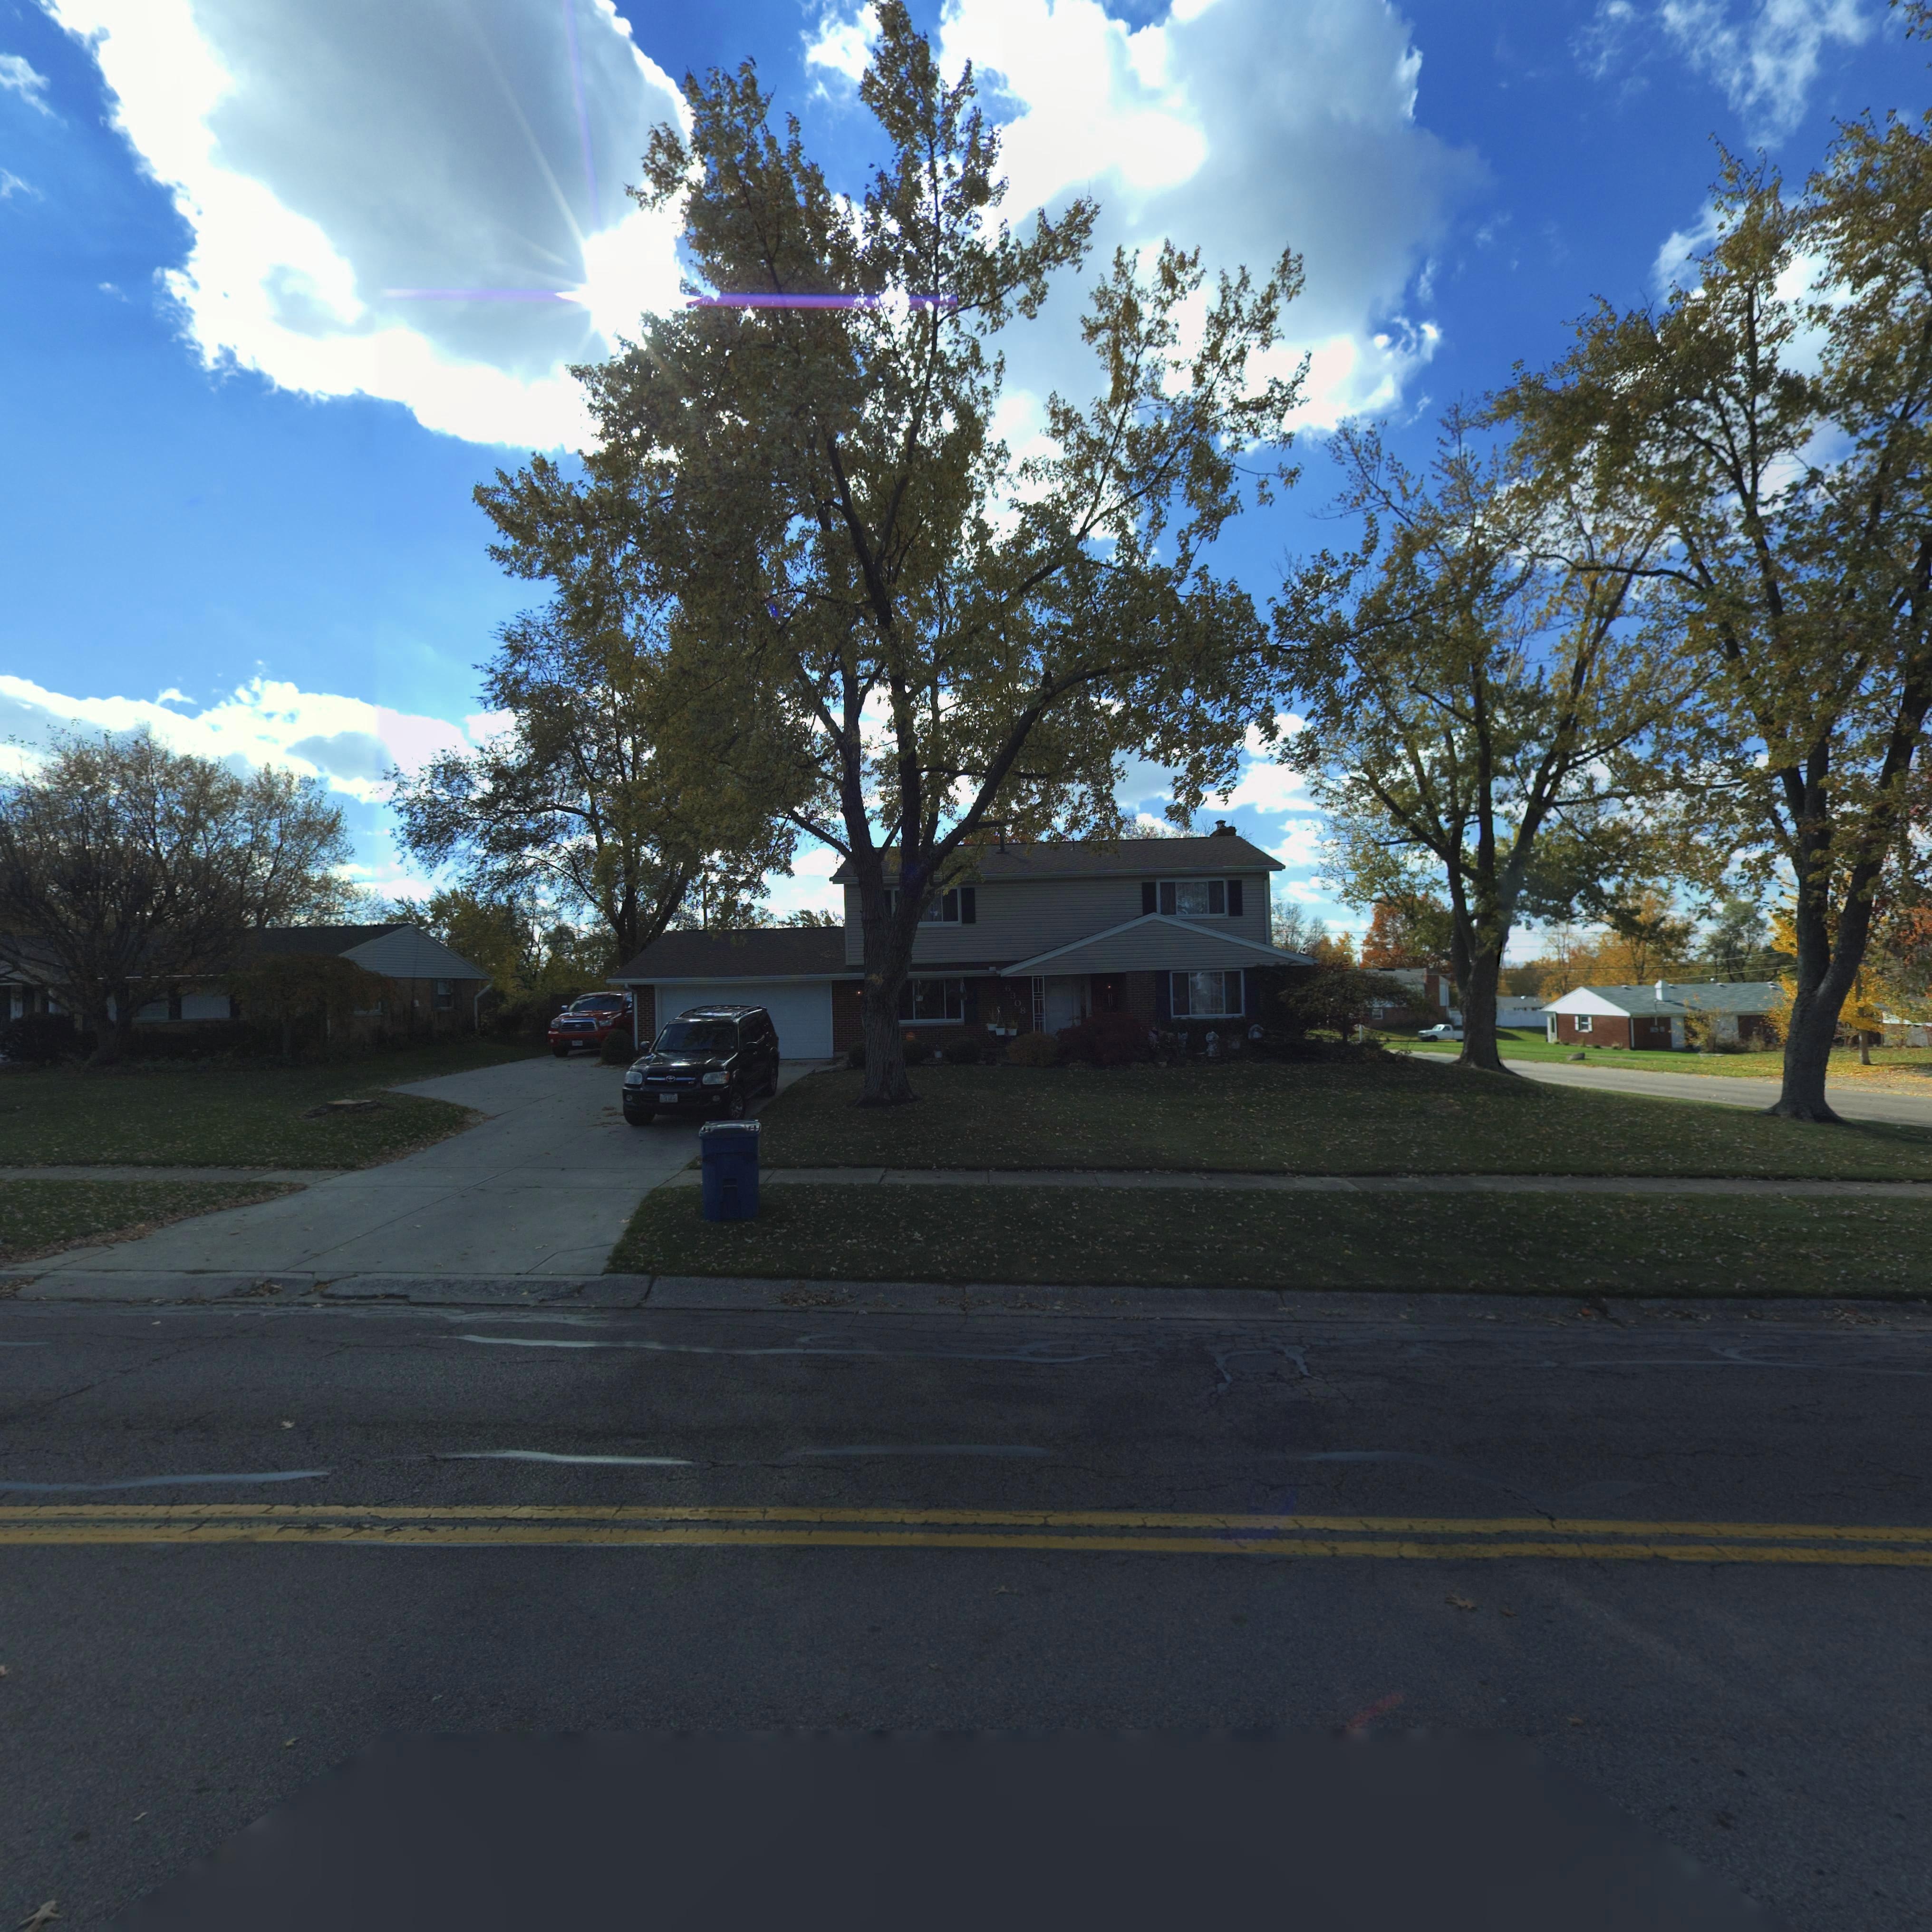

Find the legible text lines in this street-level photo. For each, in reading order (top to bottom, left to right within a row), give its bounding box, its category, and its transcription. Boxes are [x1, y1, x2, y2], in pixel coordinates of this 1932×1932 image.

[1004, 984, 1026, 1015] StreetNumber: 6308